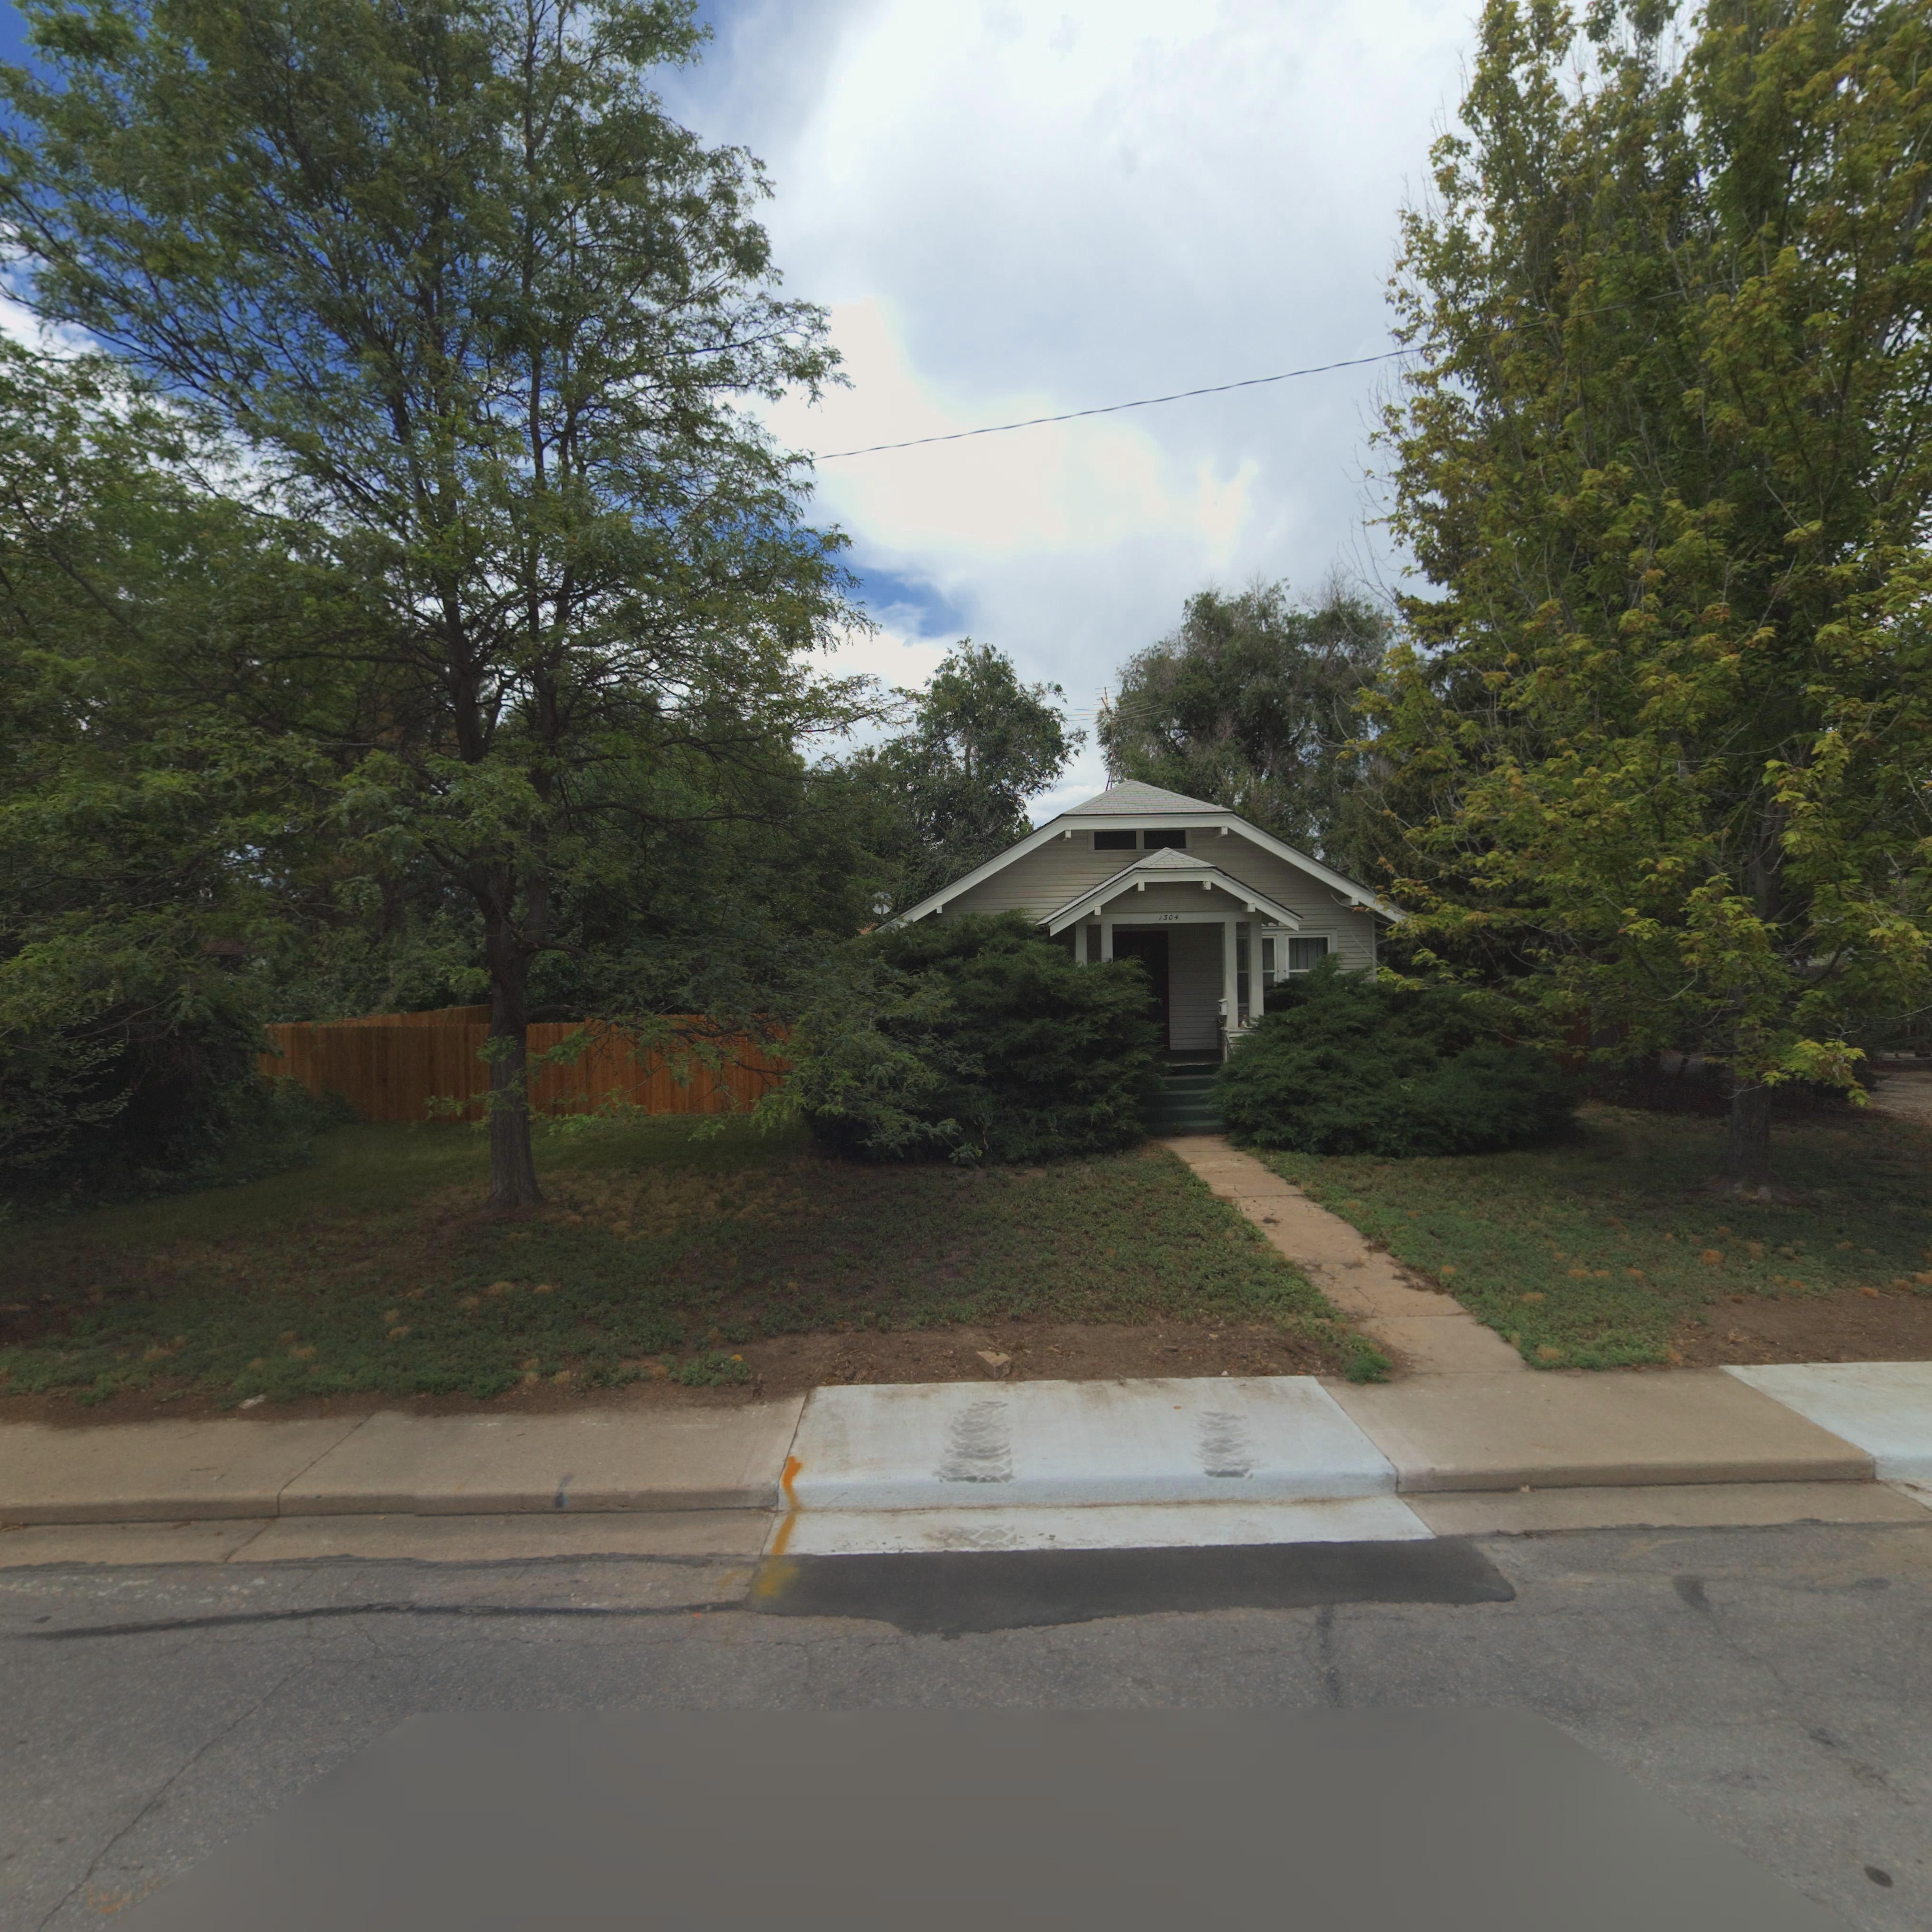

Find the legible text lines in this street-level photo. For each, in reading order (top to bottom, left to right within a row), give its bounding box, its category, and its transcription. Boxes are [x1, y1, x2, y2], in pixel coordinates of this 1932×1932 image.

[1157, 914, 1179, 921] StreetNumber: 1304